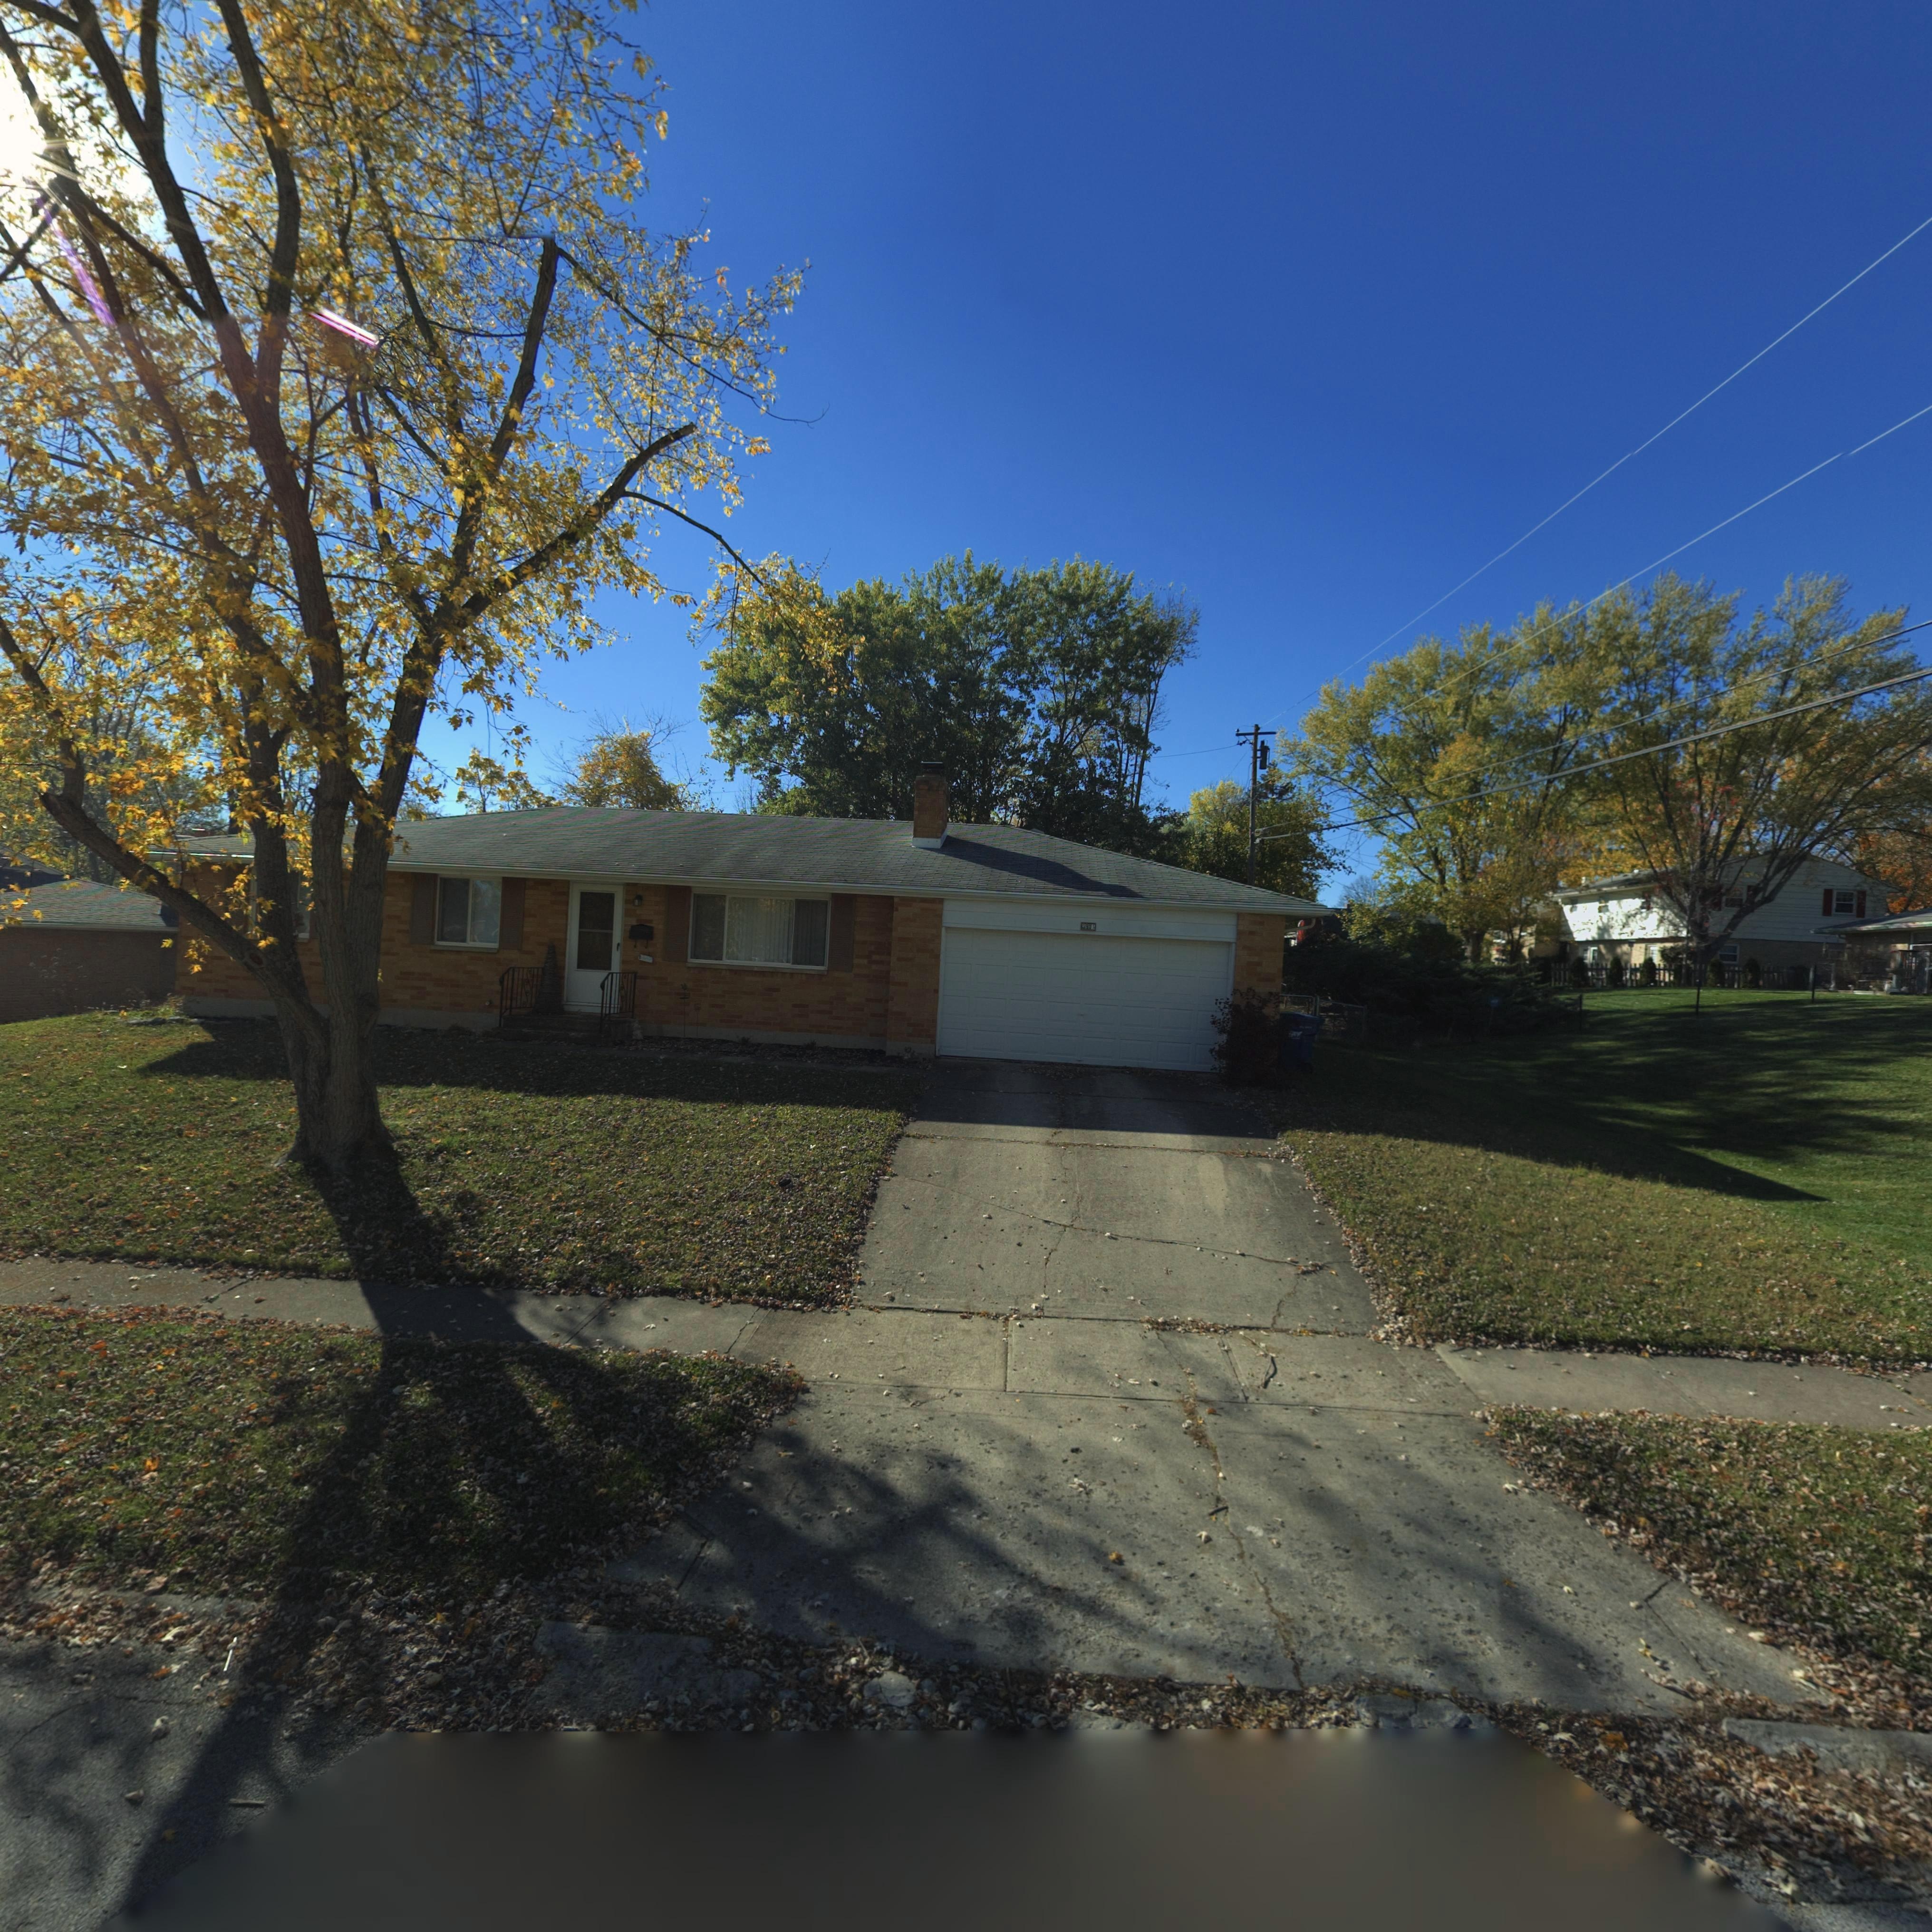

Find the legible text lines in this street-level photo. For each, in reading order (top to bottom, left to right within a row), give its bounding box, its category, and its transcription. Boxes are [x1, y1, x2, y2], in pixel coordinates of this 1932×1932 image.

[1082, 924, 1095, 930] StreetNumber: *901